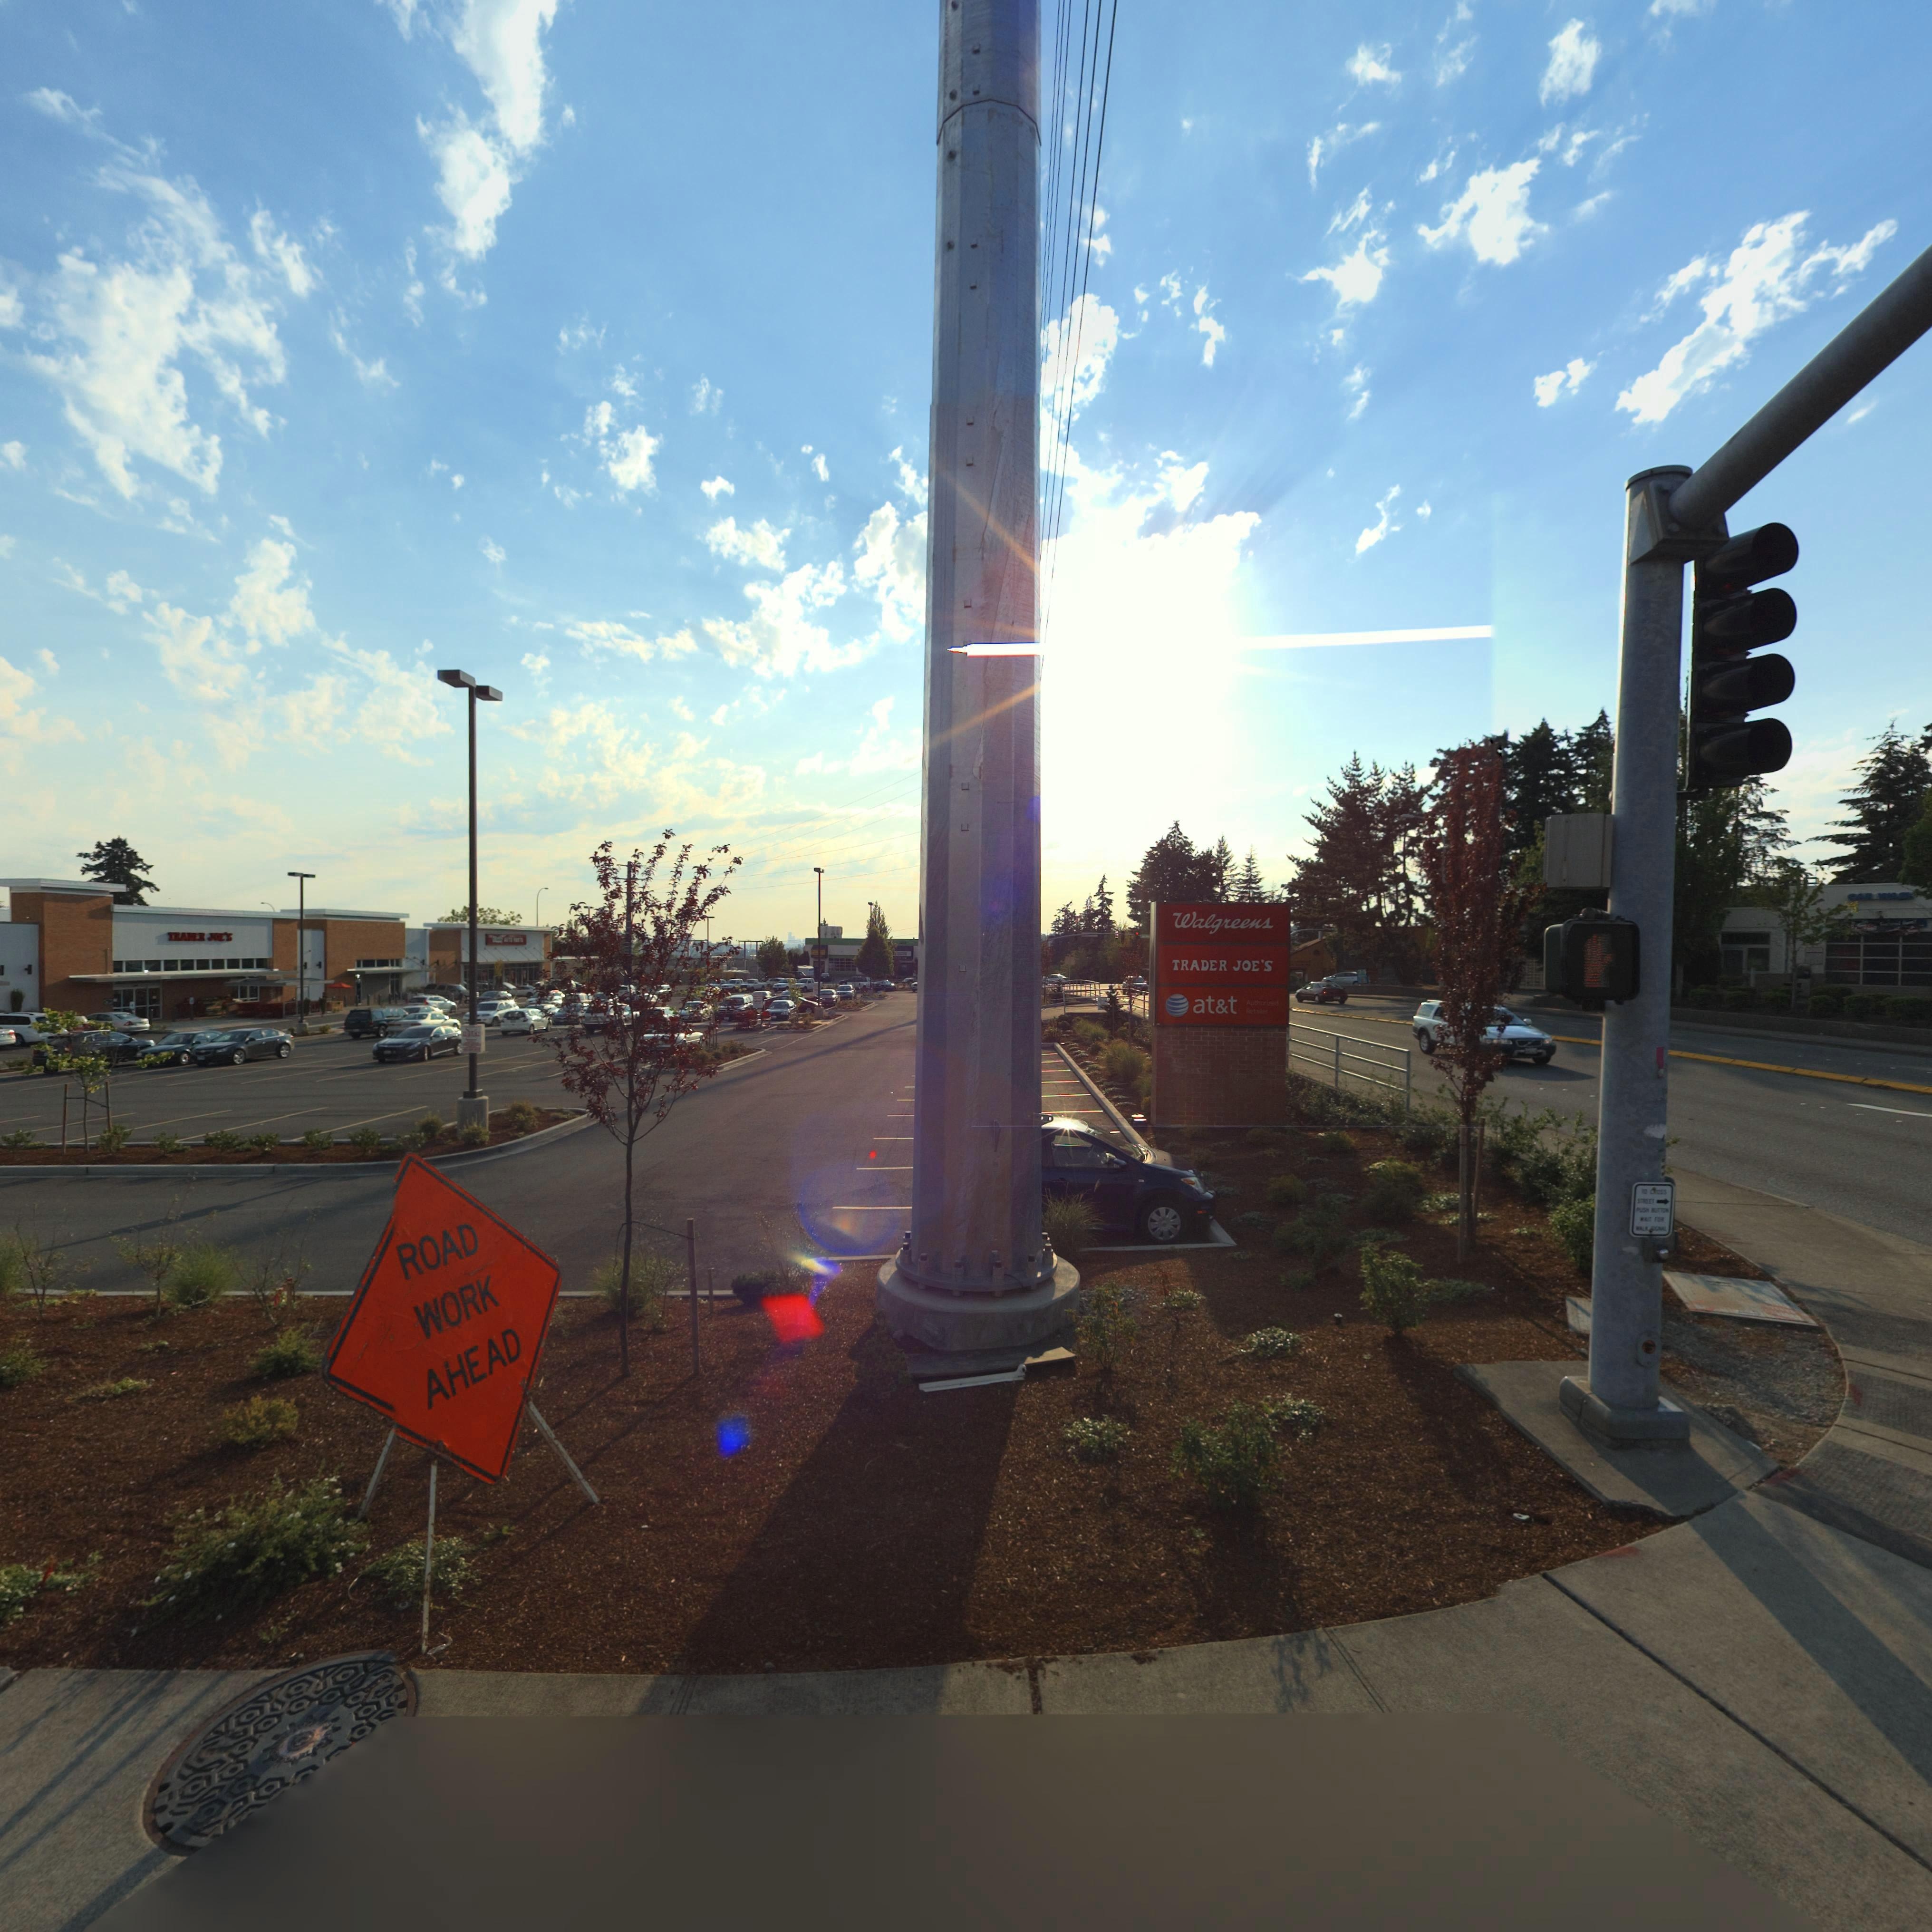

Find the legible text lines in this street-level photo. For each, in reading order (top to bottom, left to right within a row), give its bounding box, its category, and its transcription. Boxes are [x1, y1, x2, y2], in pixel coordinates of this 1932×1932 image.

[1170, 911, 1274, 936] BusinessName: Walgreens
[166, 931, 233, 942] None: TRADER JOE'S
[1172, 958, 1273, 971] BusinessName: TRADER JOE'S
[1193, 995, 1236, 1014] BusinessName: at*t